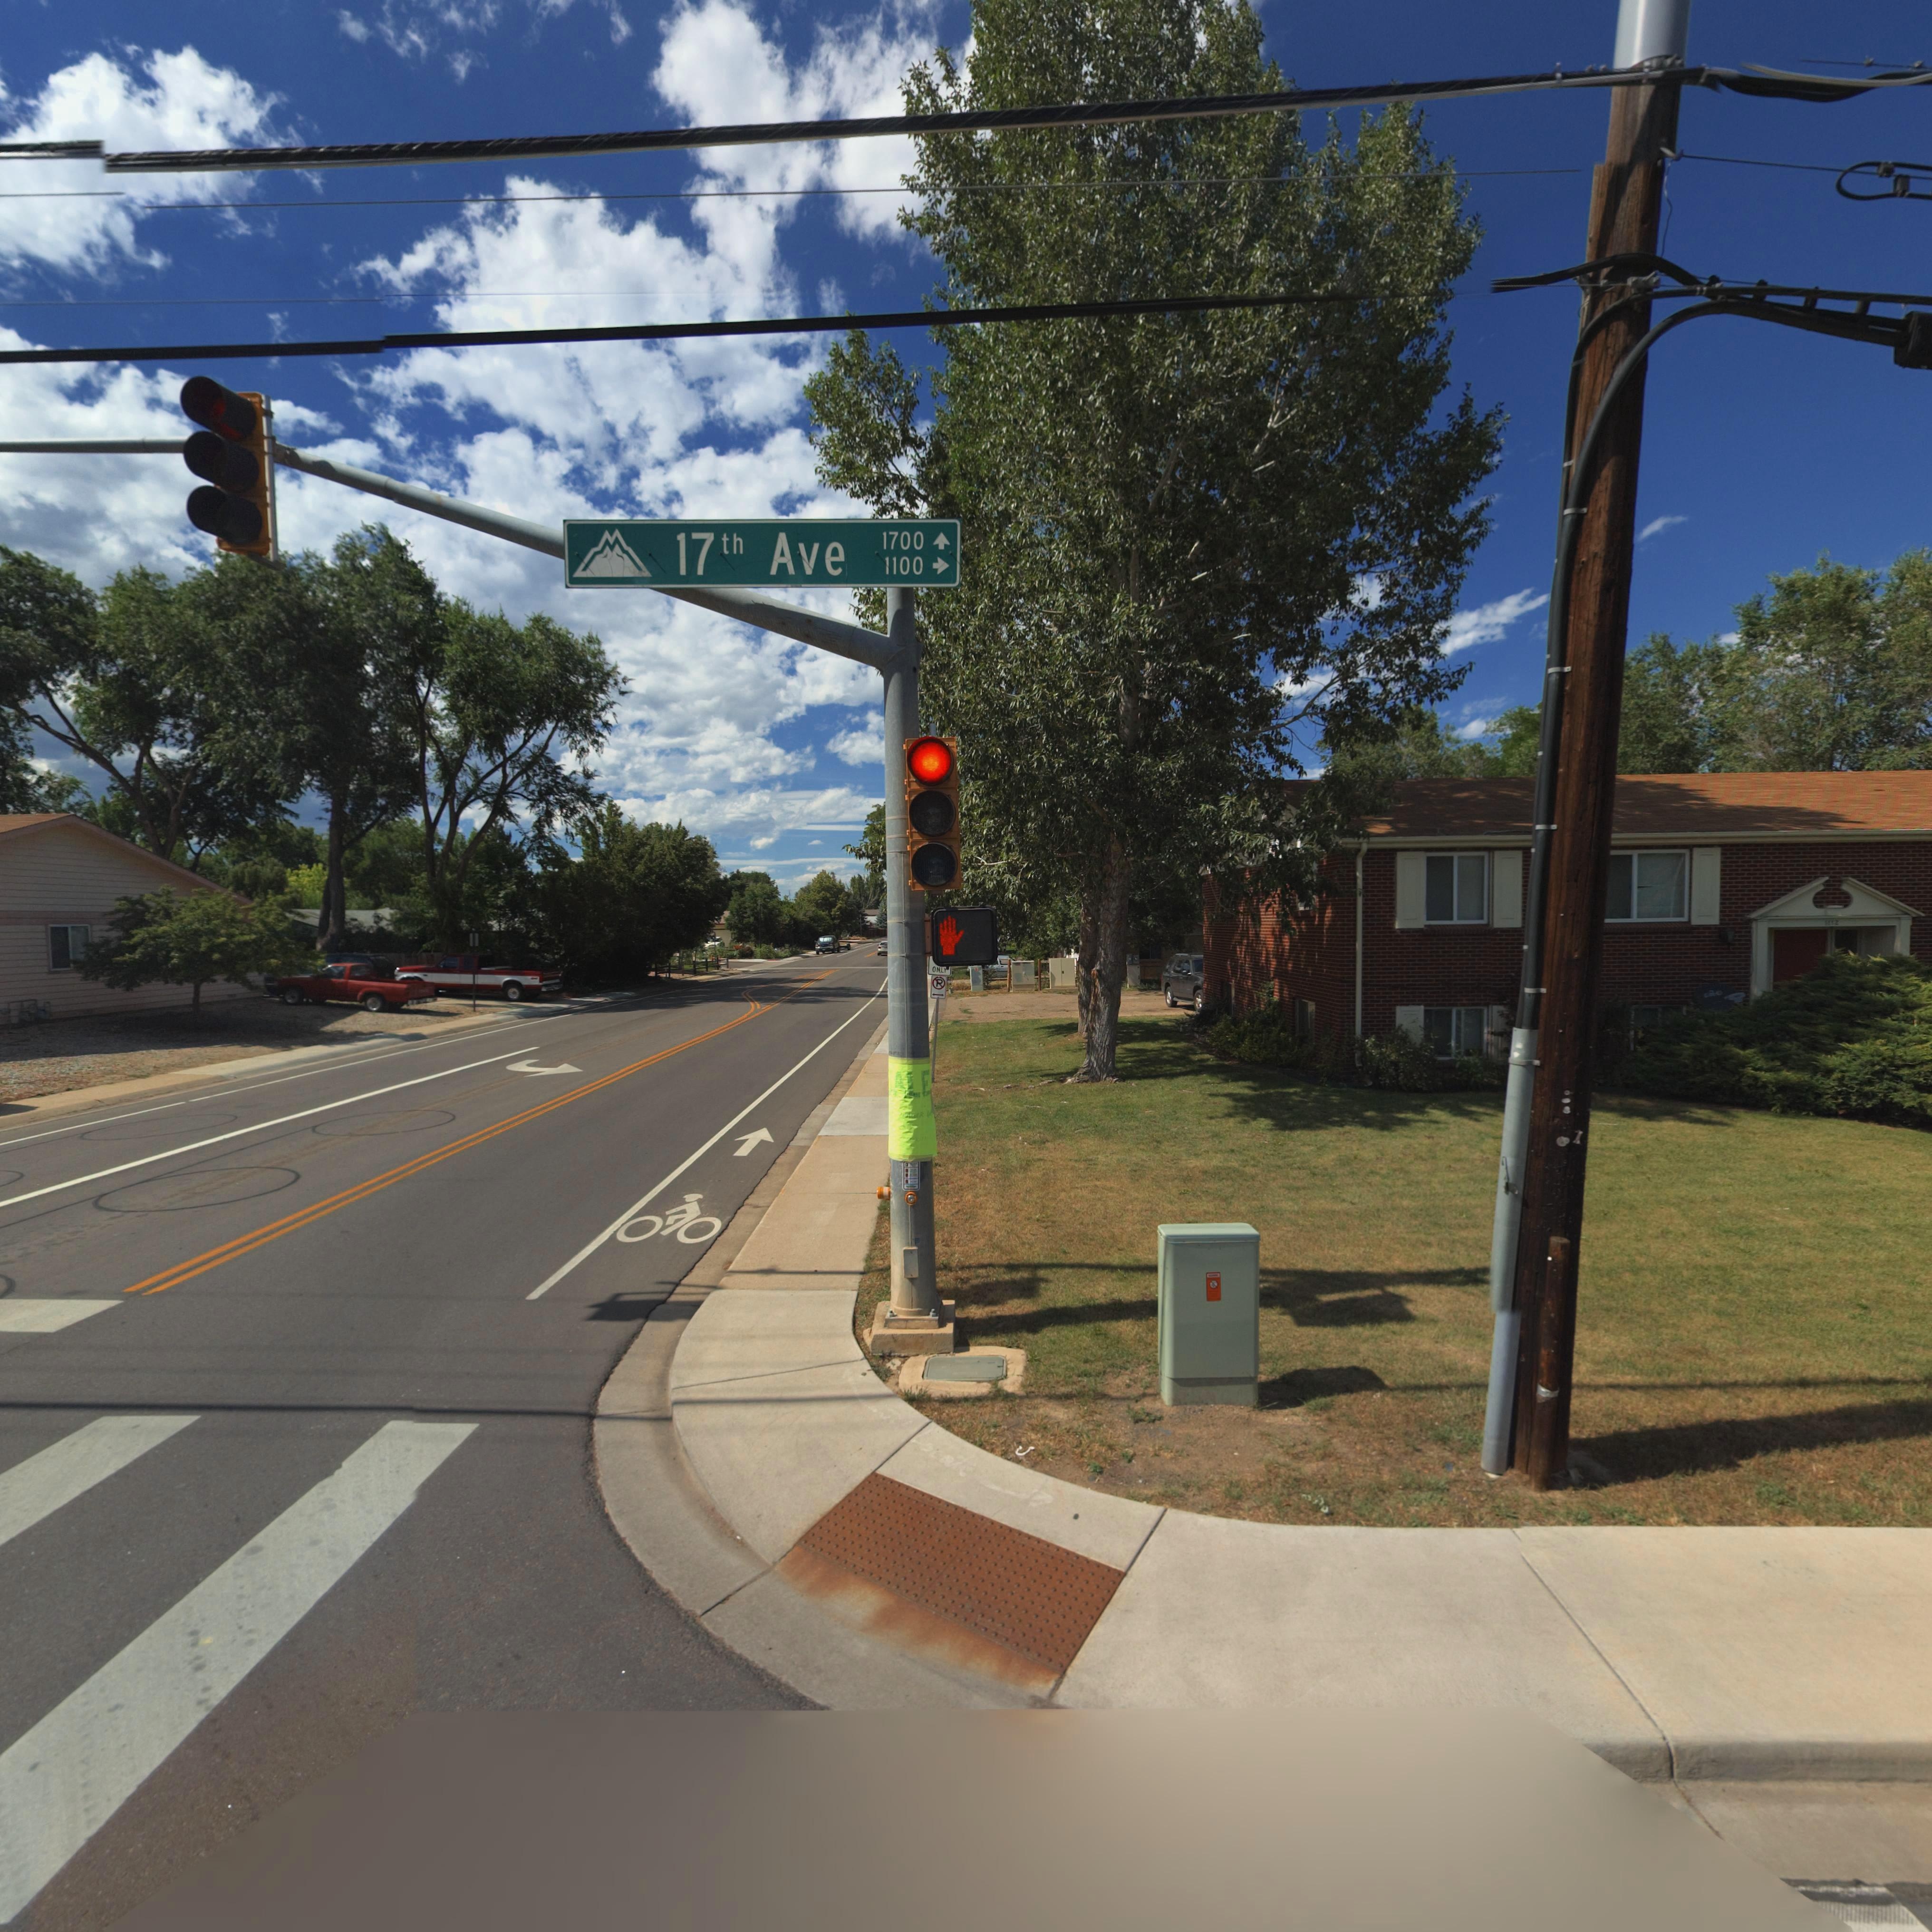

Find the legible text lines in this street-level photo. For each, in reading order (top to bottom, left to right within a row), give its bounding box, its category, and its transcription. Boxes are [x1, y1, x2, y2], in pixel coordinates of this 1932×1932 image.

[882, 530, 924, 551] StreetNumberRange: 1700
[676, 531, 845, 576] StreetName: 17th Ave
[884, 555, 949, 575] StreetNumberRange: 1100 ->
[1825, 919, 1839, 925] StreetNumber: 1112